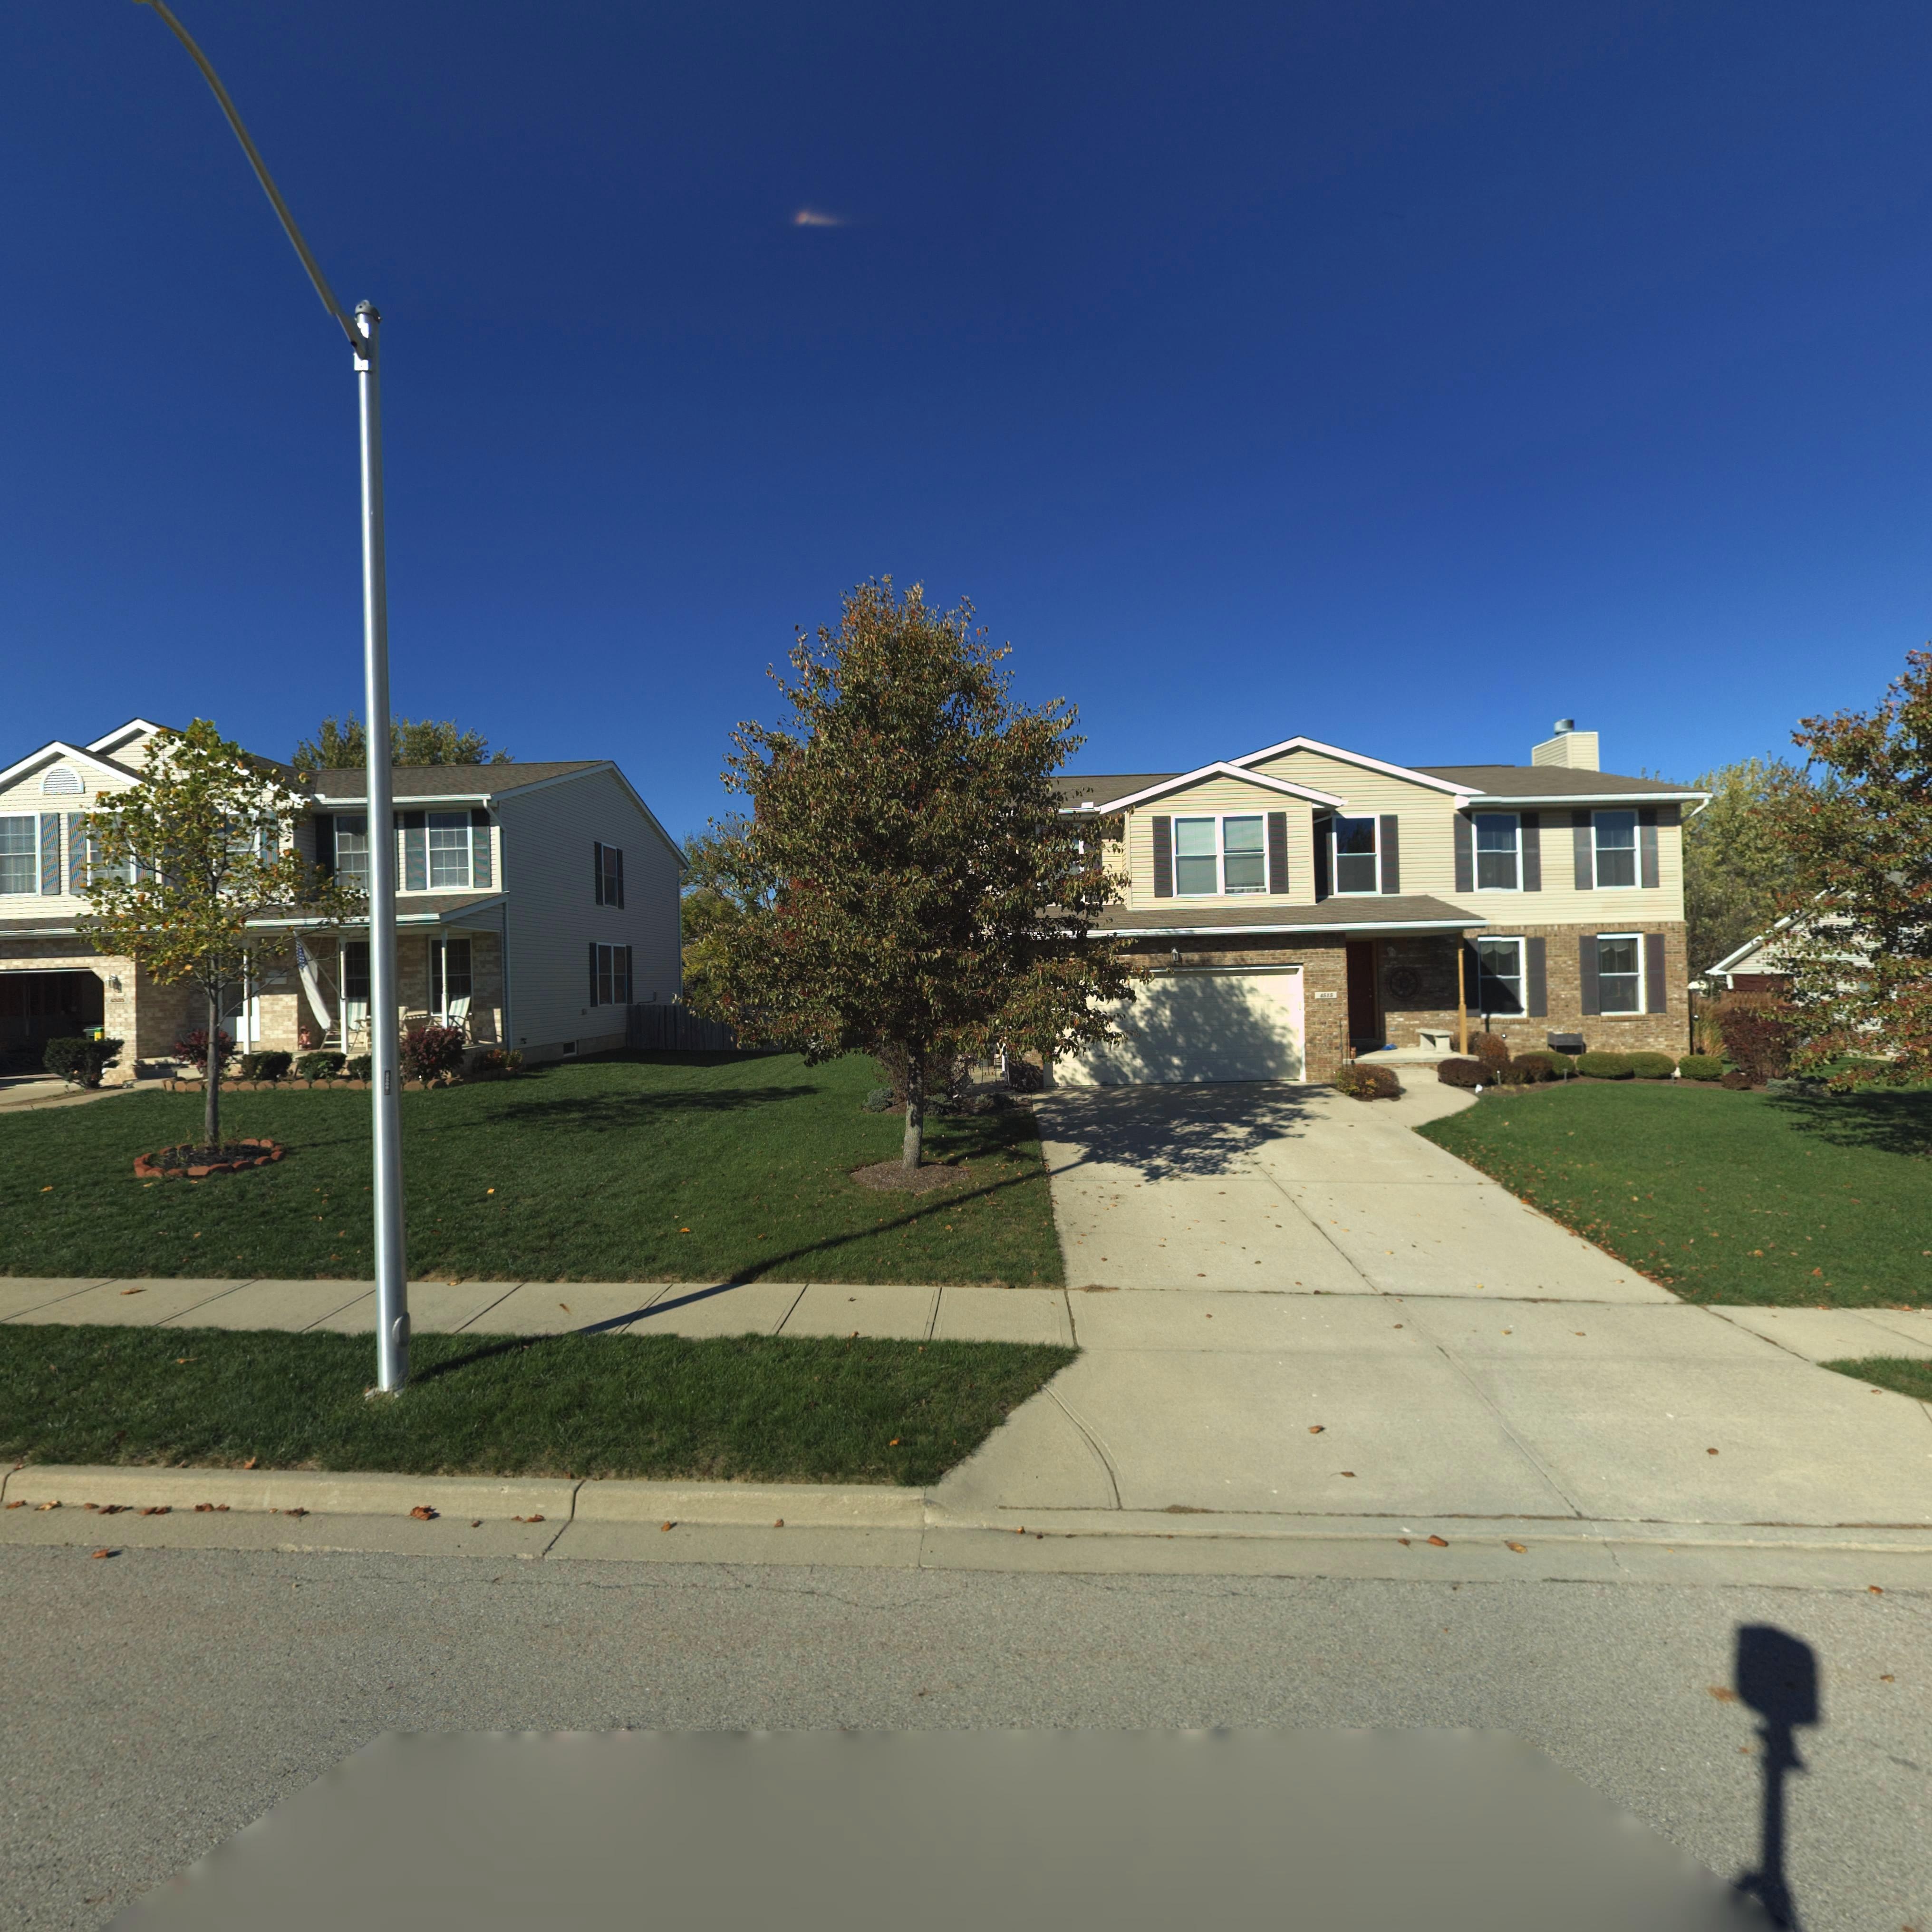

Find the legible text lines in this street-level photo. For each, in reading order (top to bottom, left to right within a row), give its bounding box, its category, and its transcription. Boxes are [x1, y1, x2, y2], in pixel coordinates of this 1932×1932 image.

[1319, 992, 1334, 999] StreetNumber: 4515